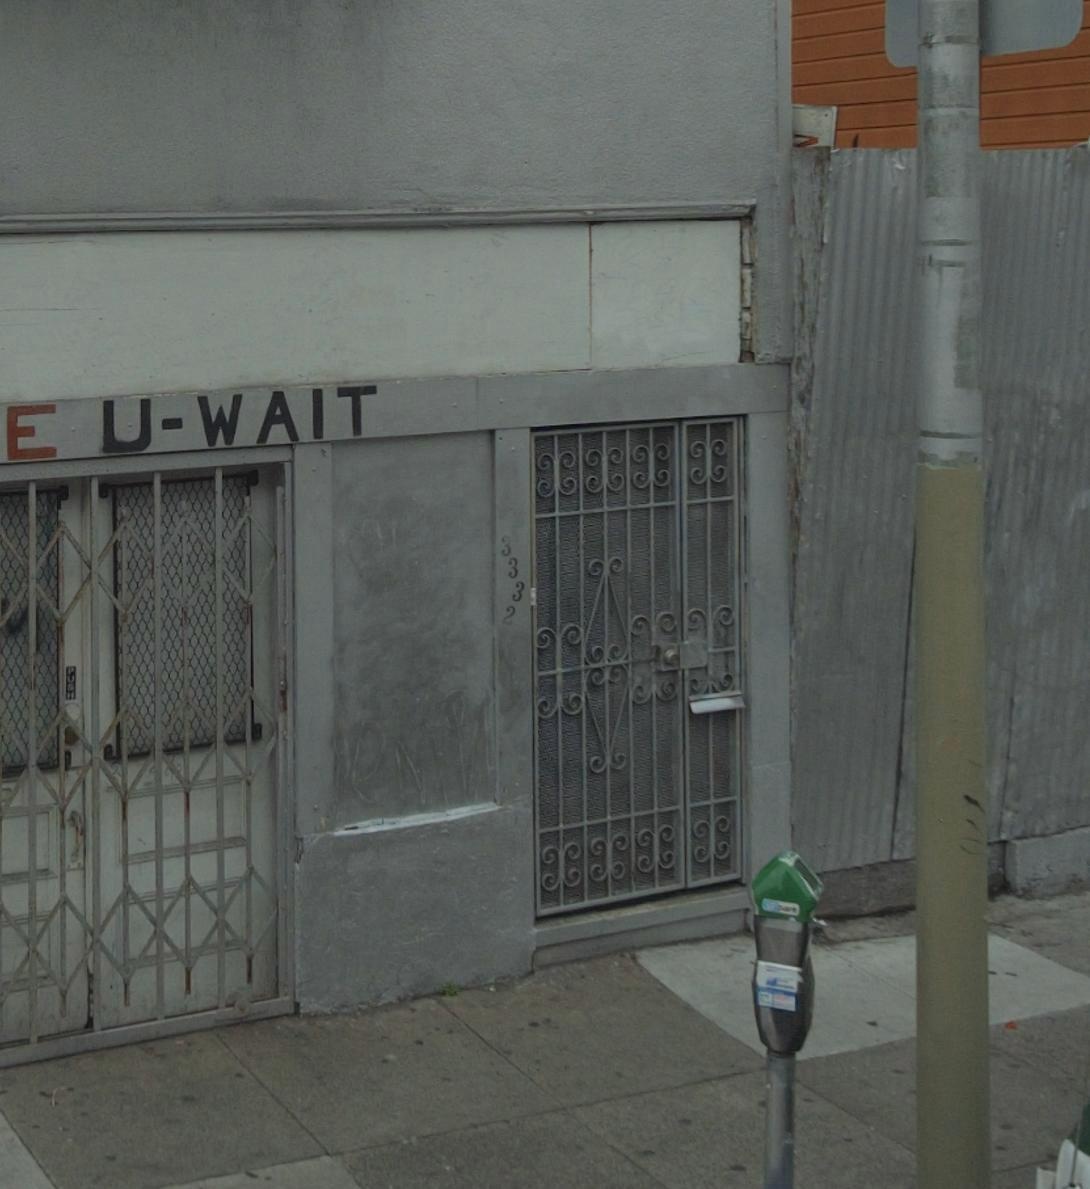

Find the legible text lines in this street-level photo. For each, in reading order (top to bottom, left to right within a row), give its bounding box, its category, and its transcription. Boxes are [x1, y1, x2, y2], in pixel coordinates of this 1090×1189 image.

[4, 384, 379, 465] None: E U-WAIT
[498, 534, 526, 627] StreetNumber: 3332